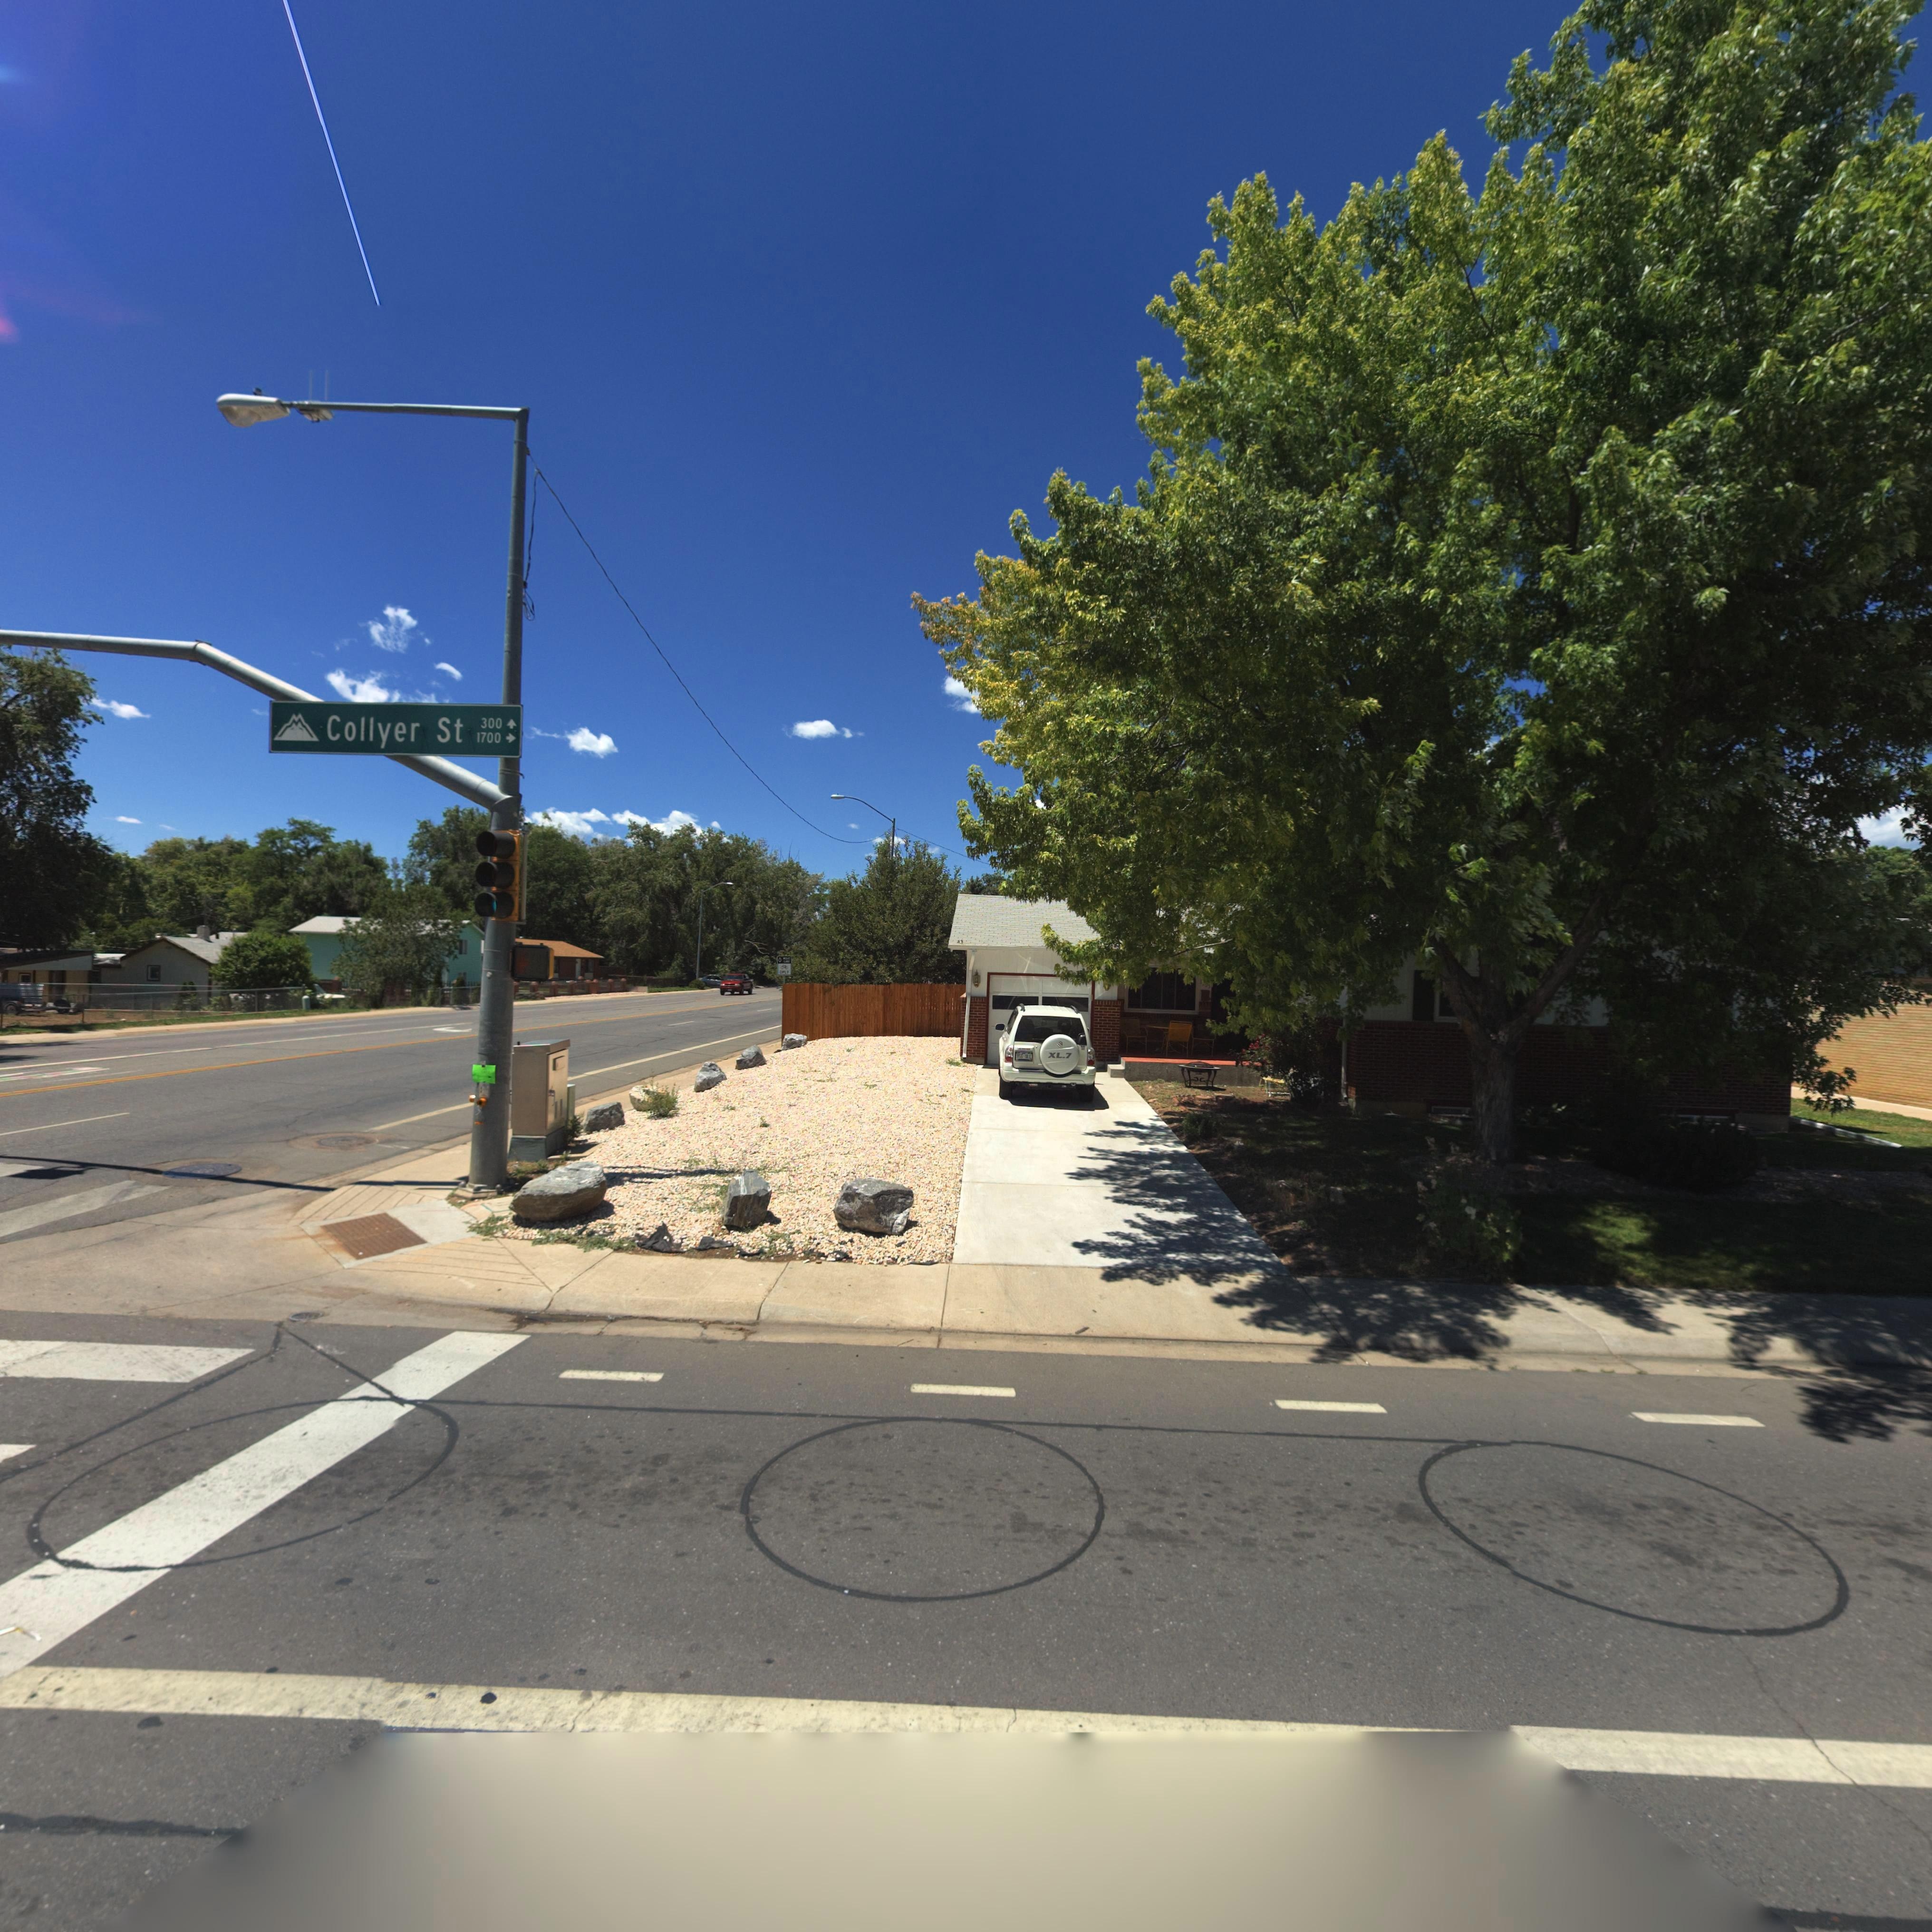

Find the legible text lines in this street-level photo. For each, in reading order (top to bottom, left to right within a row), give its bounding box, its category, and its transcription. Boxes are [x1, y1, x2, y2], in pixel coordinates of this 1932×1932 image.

[480, 717, 502, 728] StreetNumberRange: 300
[326, 714, 465, 749] StreetName: Collyer St
[476, 732, 517, 743] StreetNumberRange: 1700->